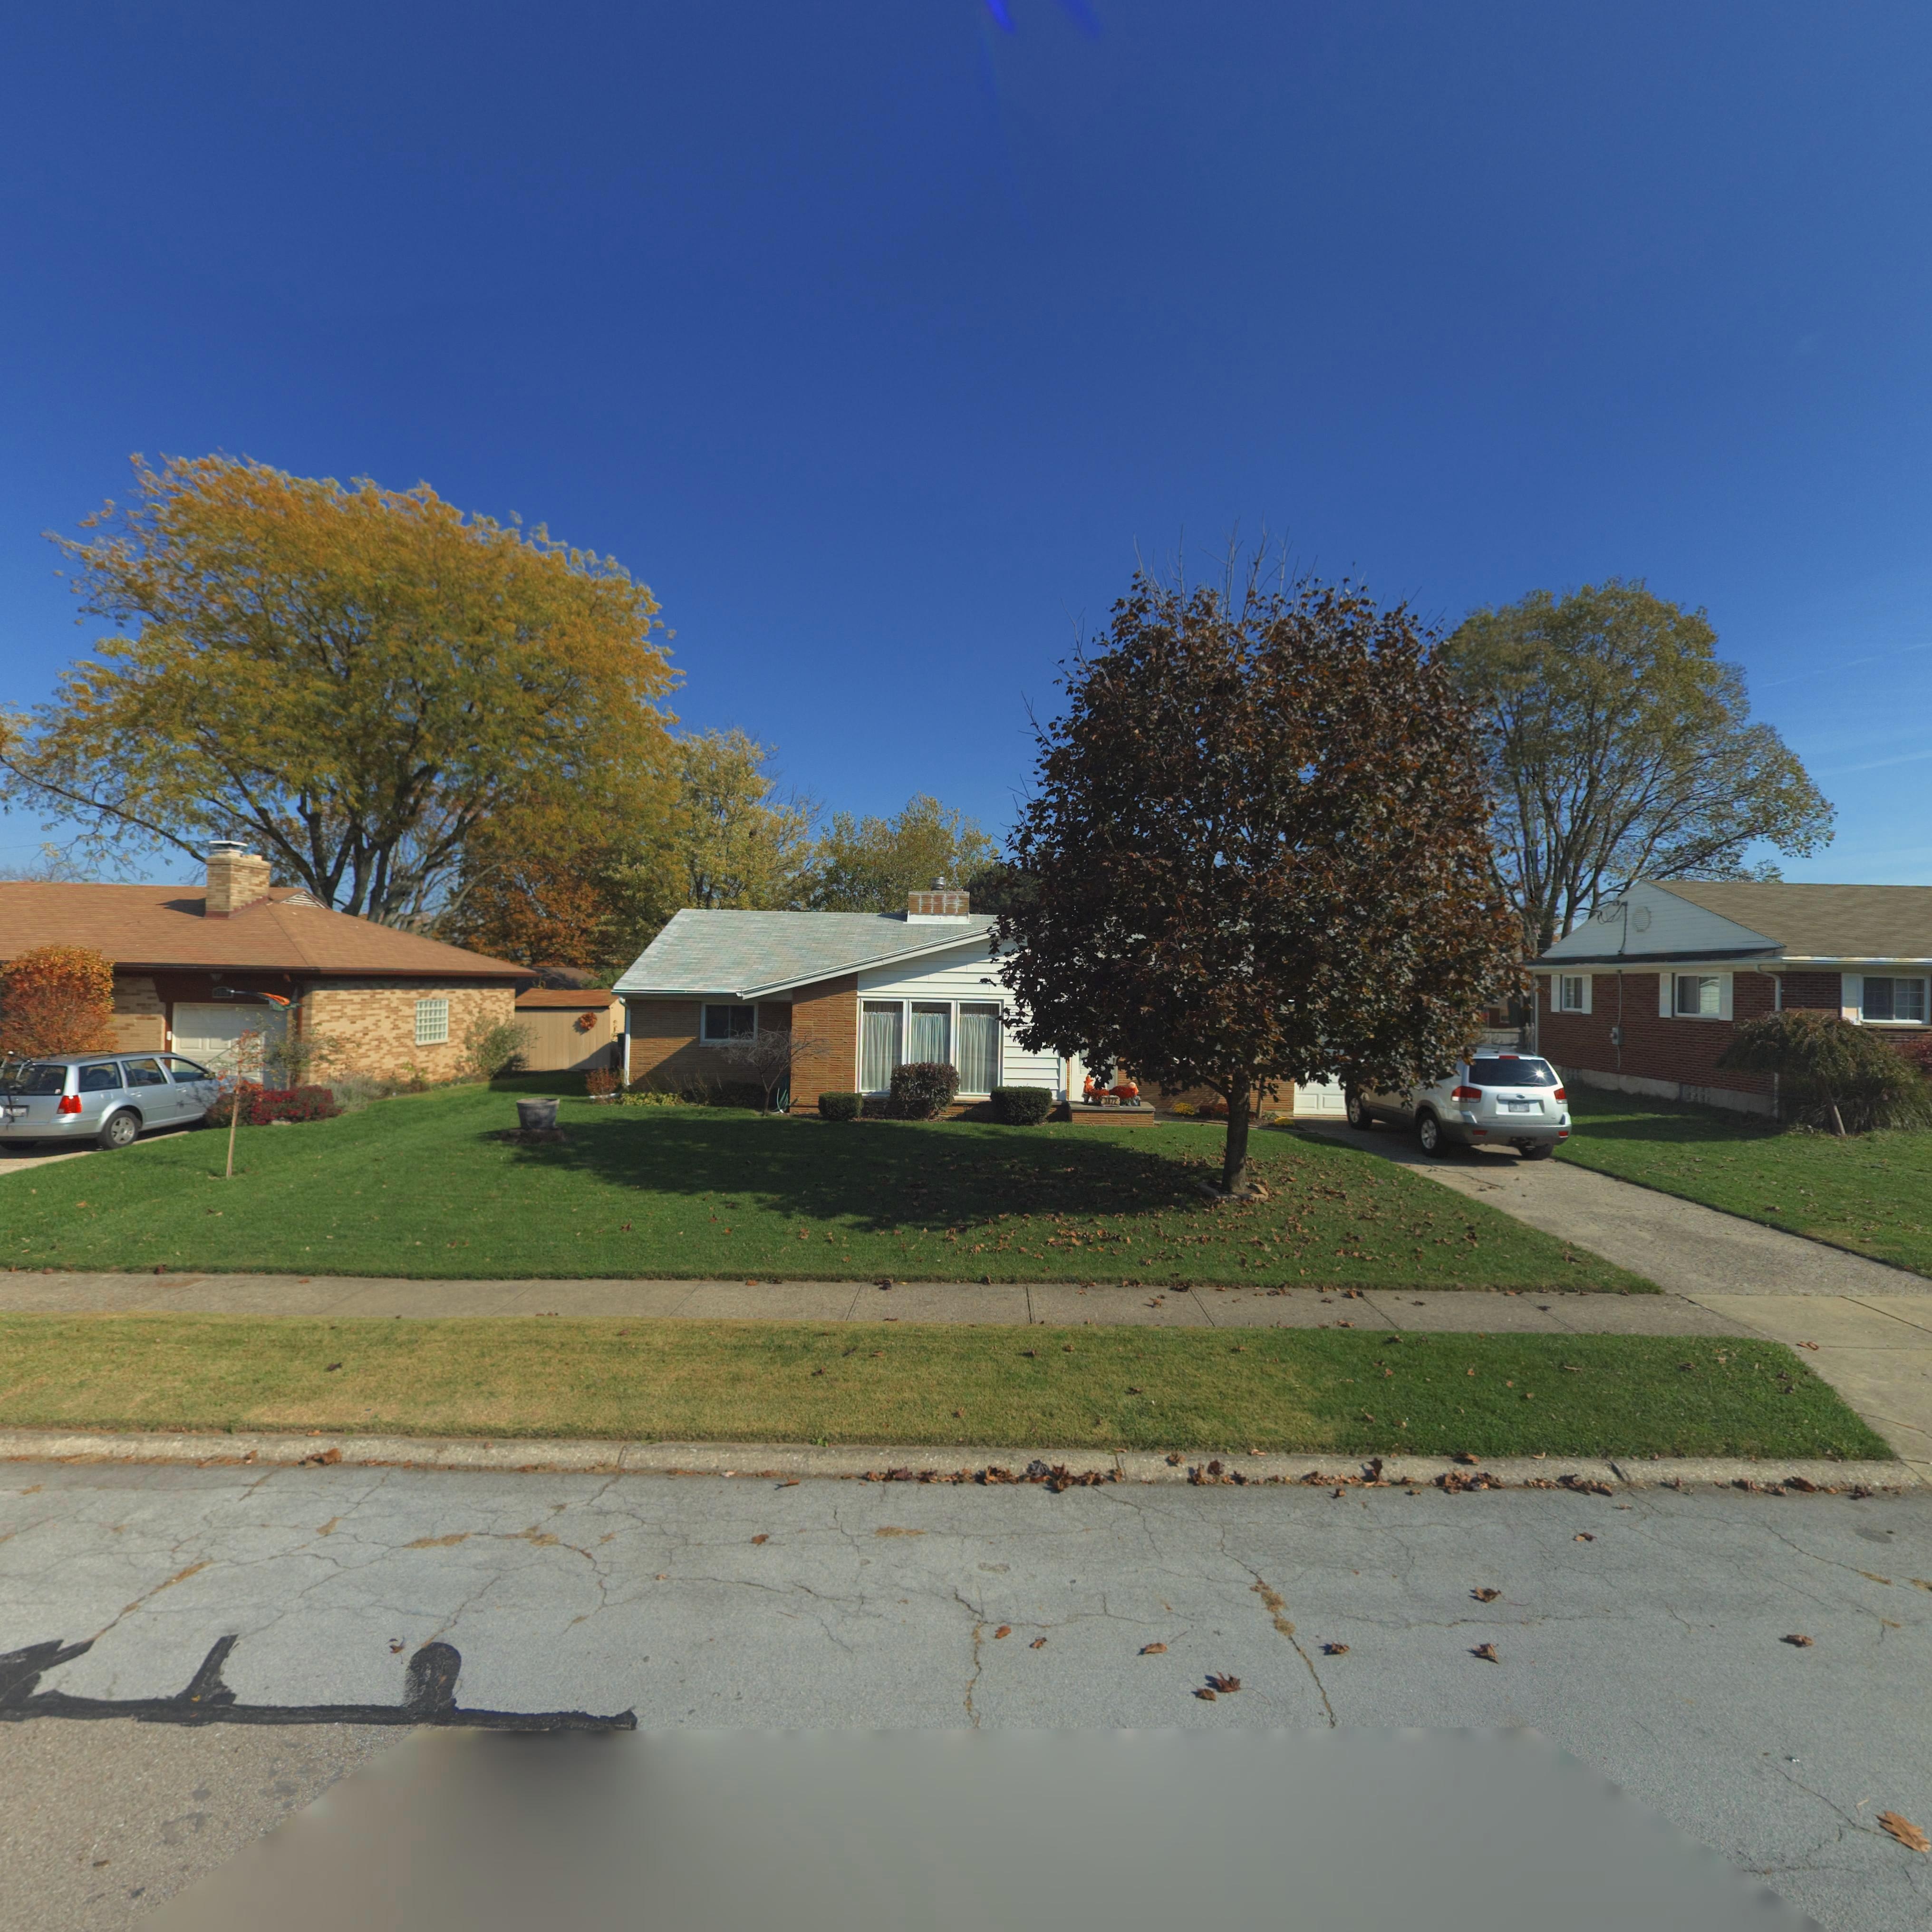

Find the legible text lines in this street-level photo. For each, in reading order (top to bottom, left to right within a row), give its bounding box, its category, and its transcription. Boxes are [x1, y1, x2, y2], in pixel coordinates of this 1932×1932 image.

[1104, 1098, 1117, 1104] StreetNumber: 3872